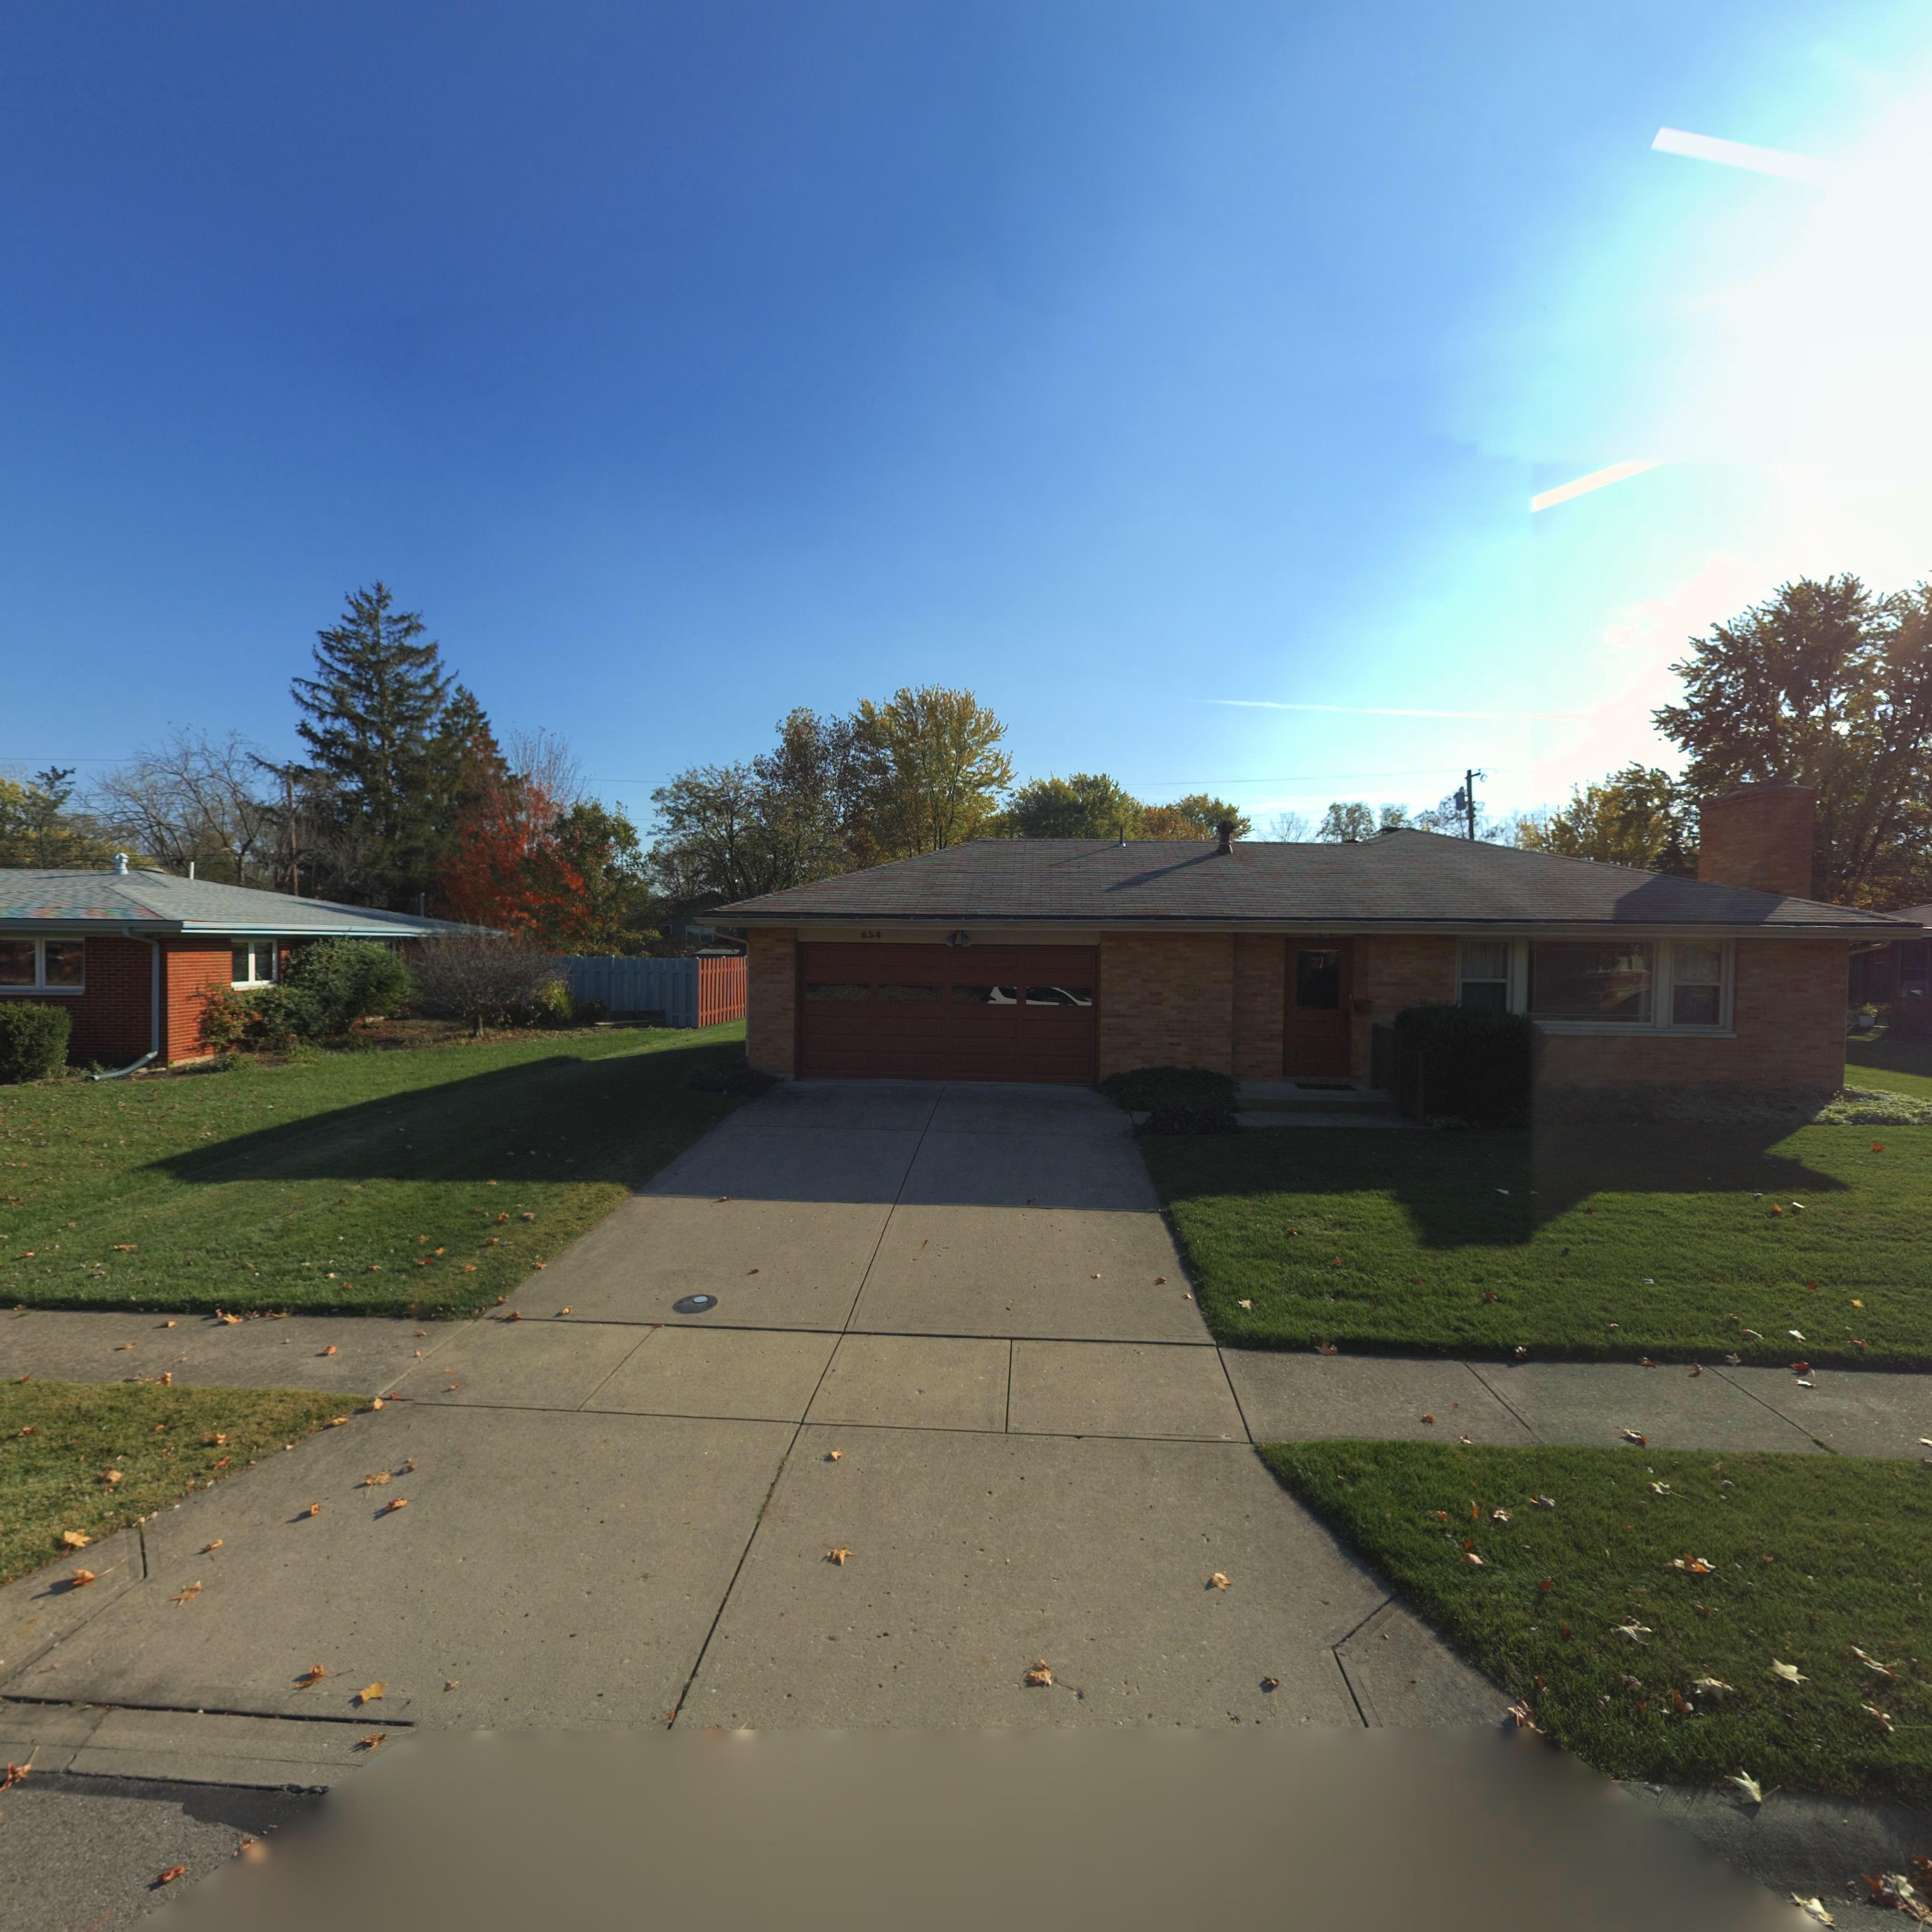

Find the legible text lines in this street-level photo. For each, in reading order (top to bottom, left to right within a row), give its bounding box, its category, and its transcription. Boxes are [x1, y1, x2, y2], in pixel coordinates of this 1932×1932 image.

[860, 929, 881, 939] StreetNumber: 654